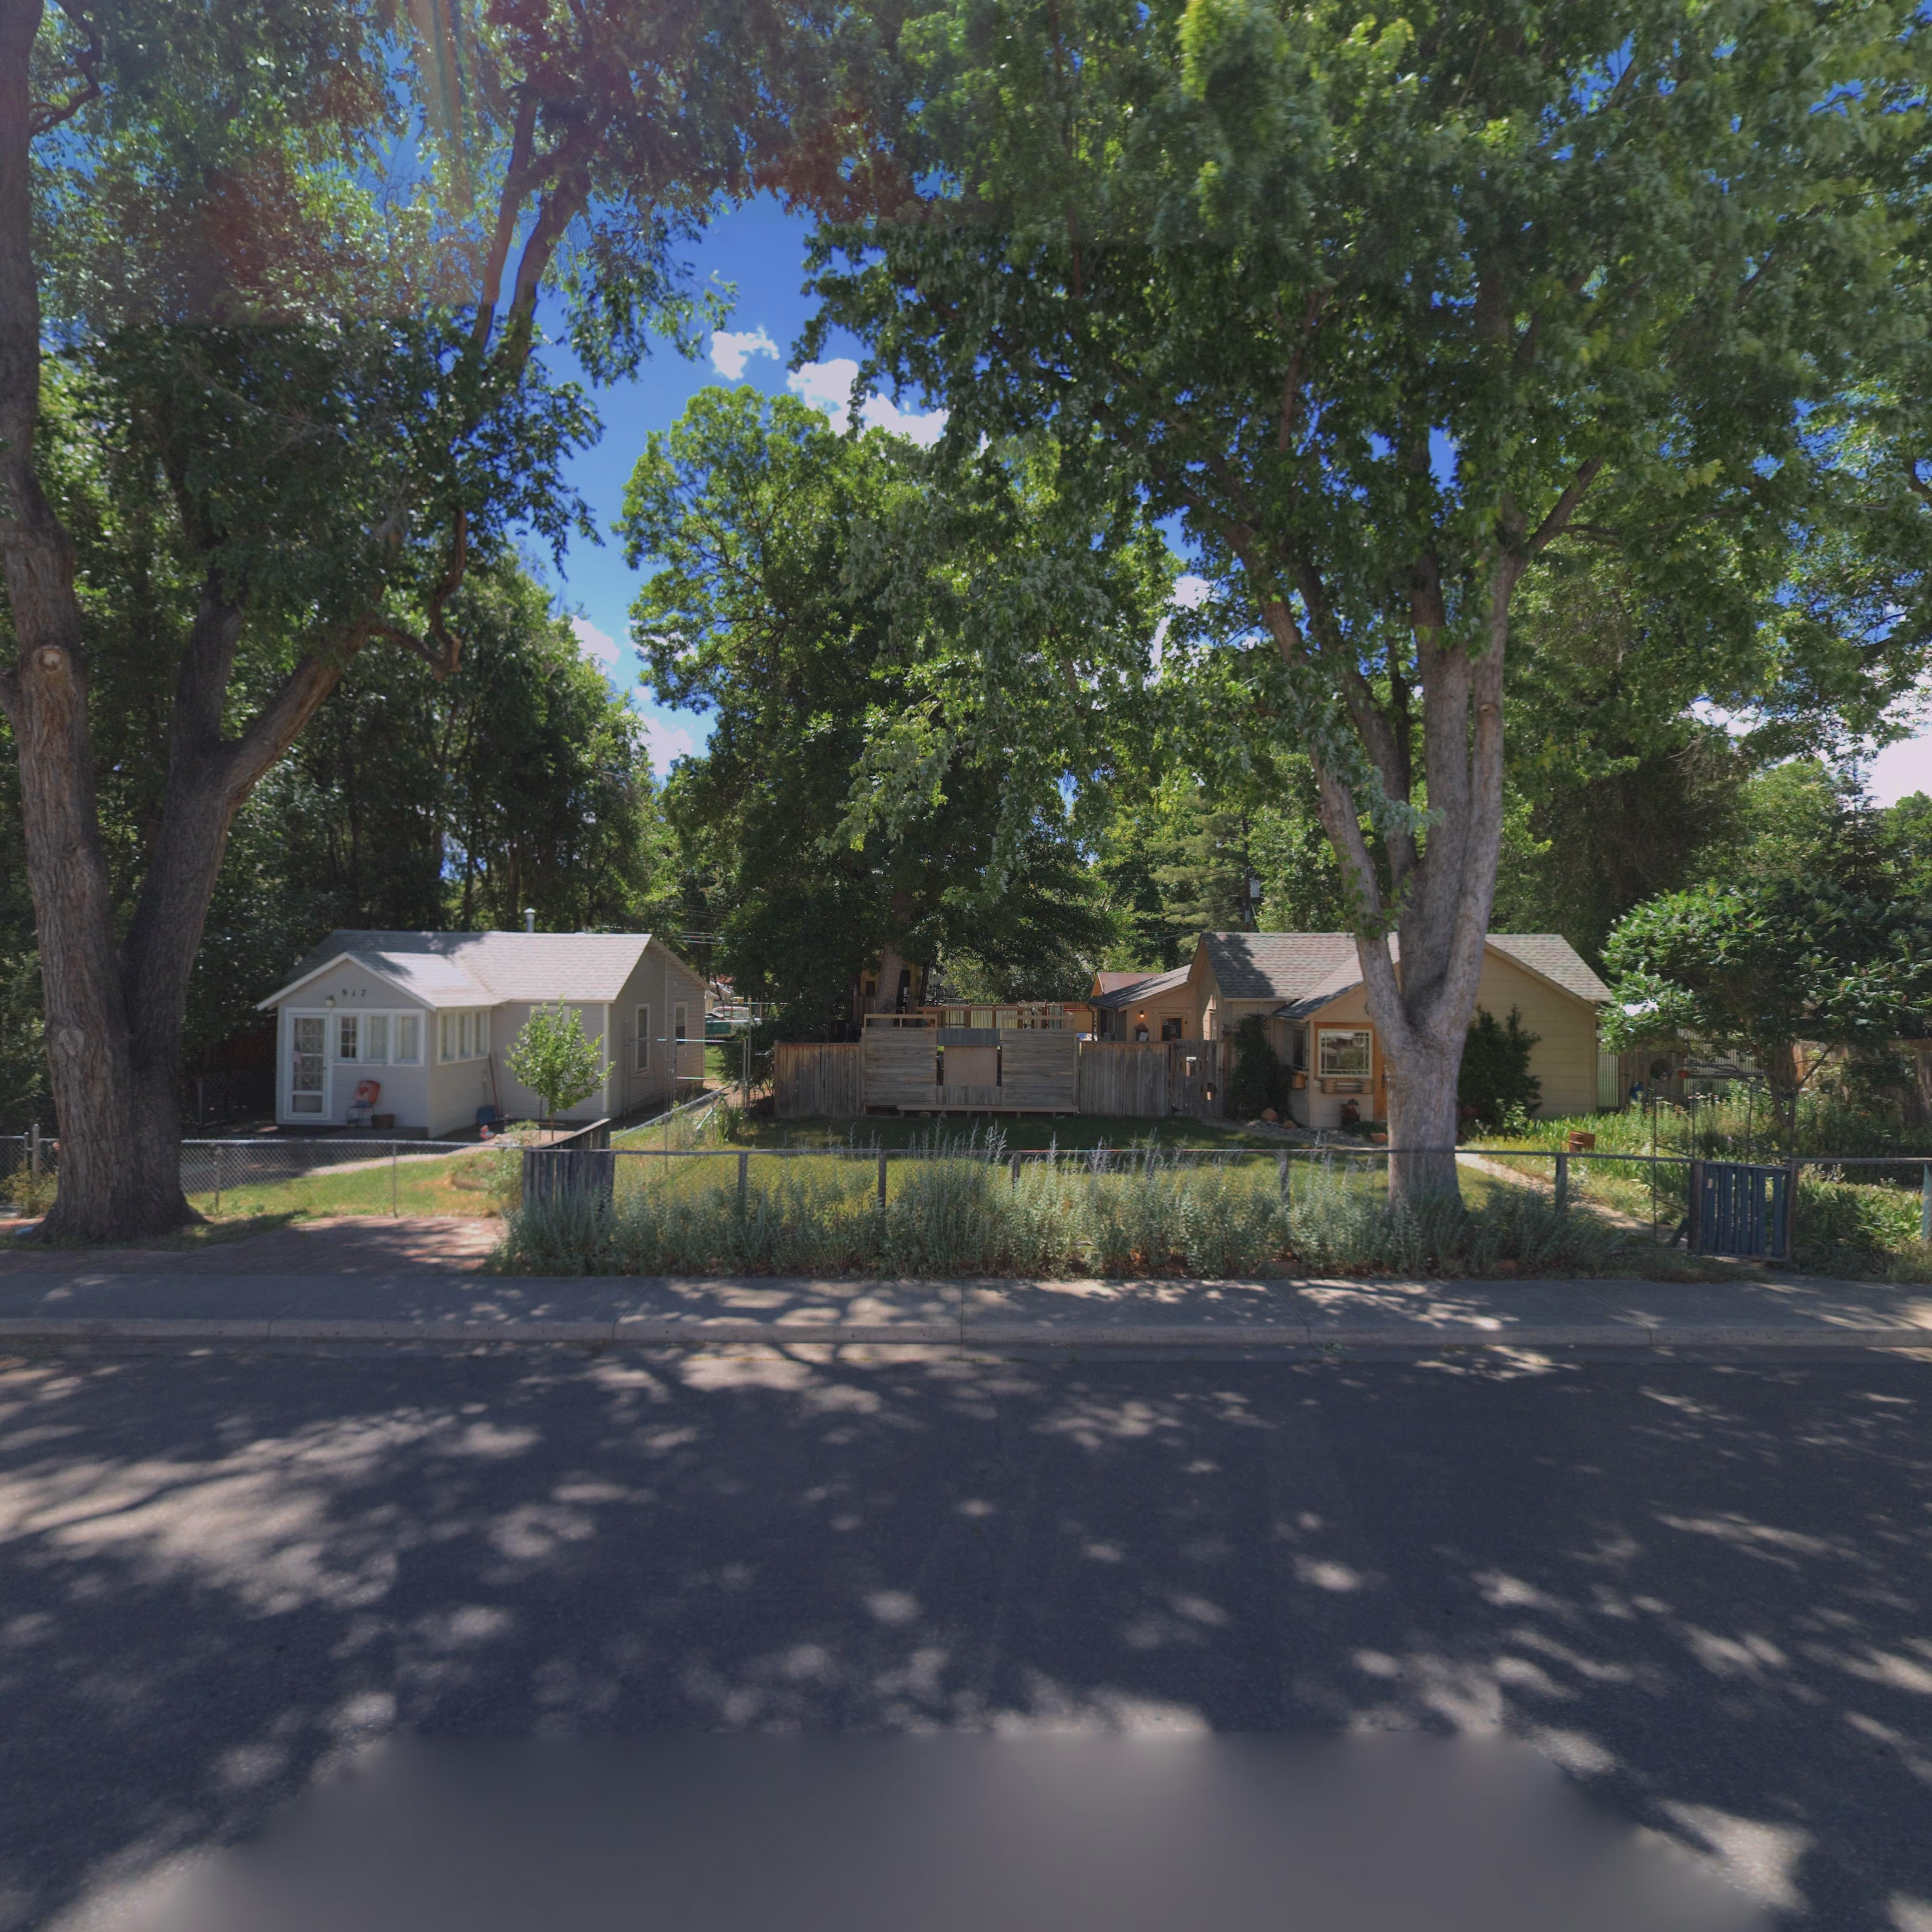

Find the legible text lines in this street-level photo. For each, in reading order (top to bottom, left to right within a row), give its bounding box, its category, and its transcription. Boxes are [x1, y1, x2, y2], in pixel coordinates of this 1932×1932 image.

[340, 988, 367, 997] StreetNumber: 917